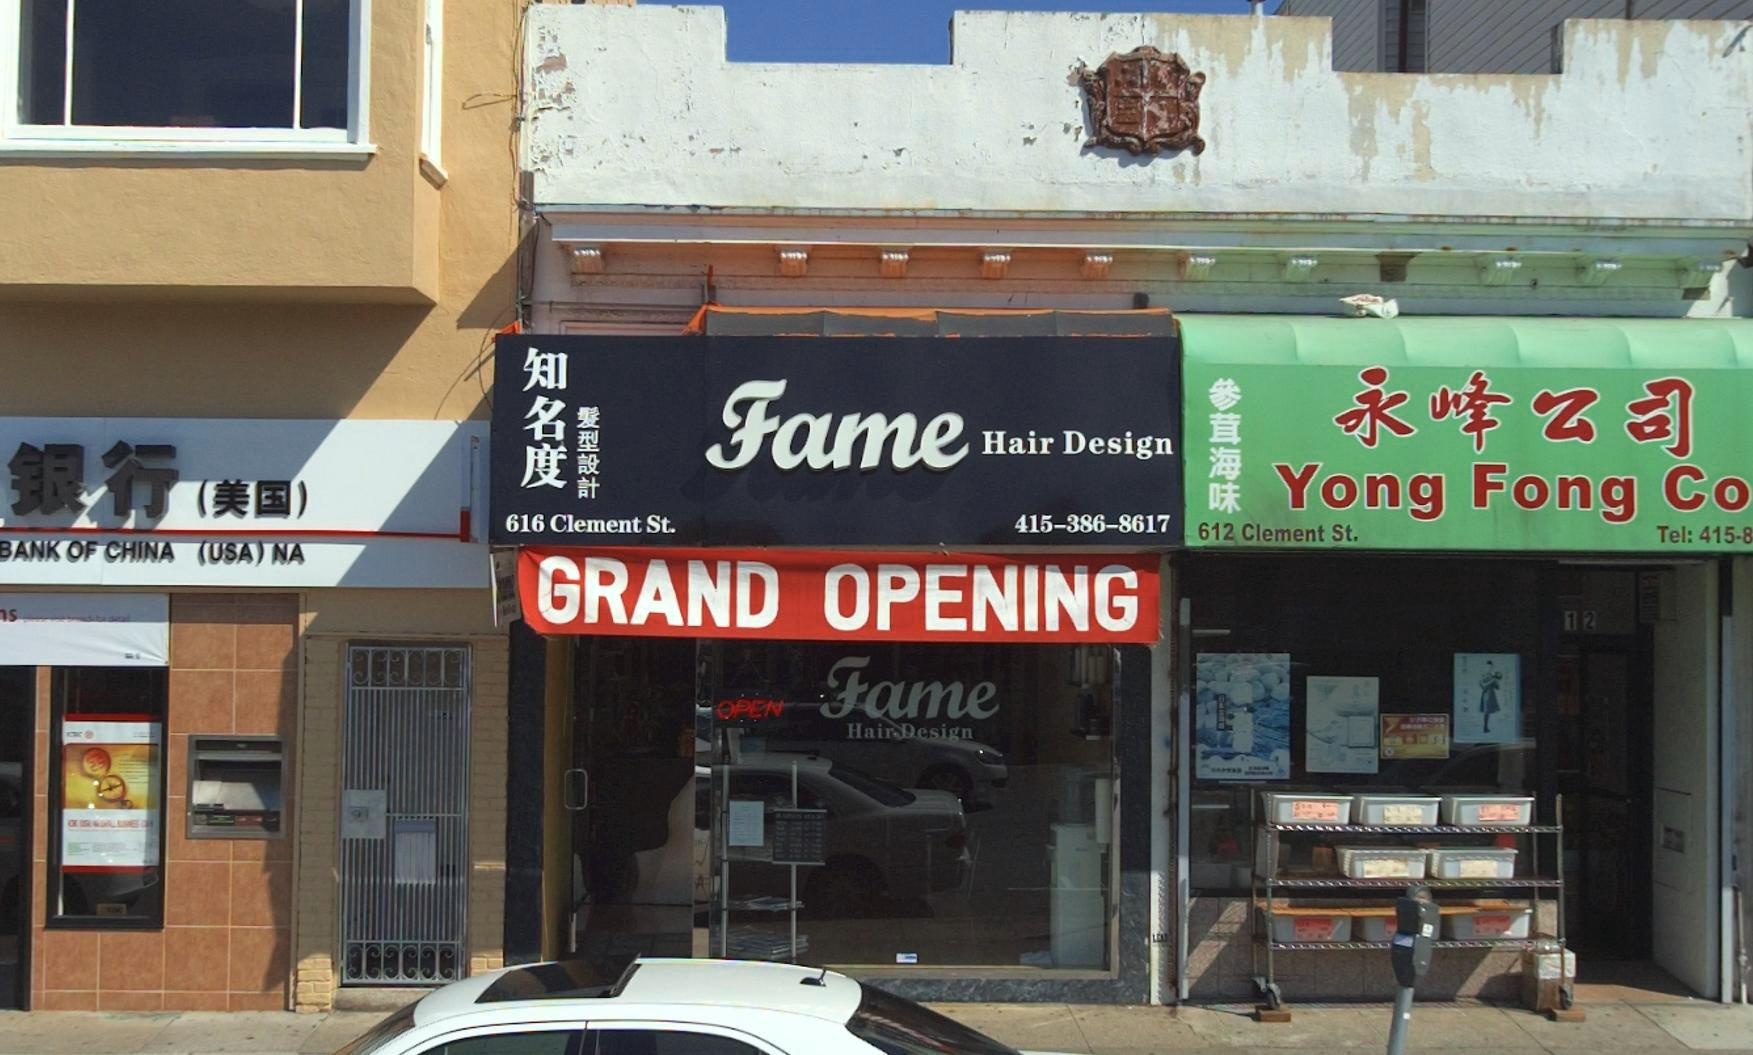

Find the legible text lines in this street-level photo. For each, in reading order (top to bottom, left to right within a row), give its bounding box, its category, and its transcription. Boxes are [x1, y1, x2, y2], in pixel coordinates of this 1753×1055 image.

[697, 375, 972, 476] BusinessName: Fame
[980, 428, 1173, 463] BusinessName: Hair Design
[1268, 460, 1751, 525] BusinessName: Yong Fong Co
[504, 511, 547, 535] StreetNumber: 616
[548, 512, 677, 535] StreetName: Clement St.
[1012, 511, 1170, 534] None: 415-386-8617
[1198, 520, 1235, 543] StreetNumber: 612
[1240, 521, 1359, 543] StreetName: Clement St.
[1654, 522, 1751, 546] None: Tel:415-8
[0, 538, 304, 565] BusinessName: BANK OF CHINA (USA)NA
[534, 549, 1139, 633] None: GRAND OPENING
[7, 606, 17, 623] None: S
[1565, 611, 1596, 632] None: 12
[816, 653, 999, 721] BusinessName: Fame
[716, 697, 785, 720] None: OPEN
[844, 719, 973, 743] BusinessName: Hair Design